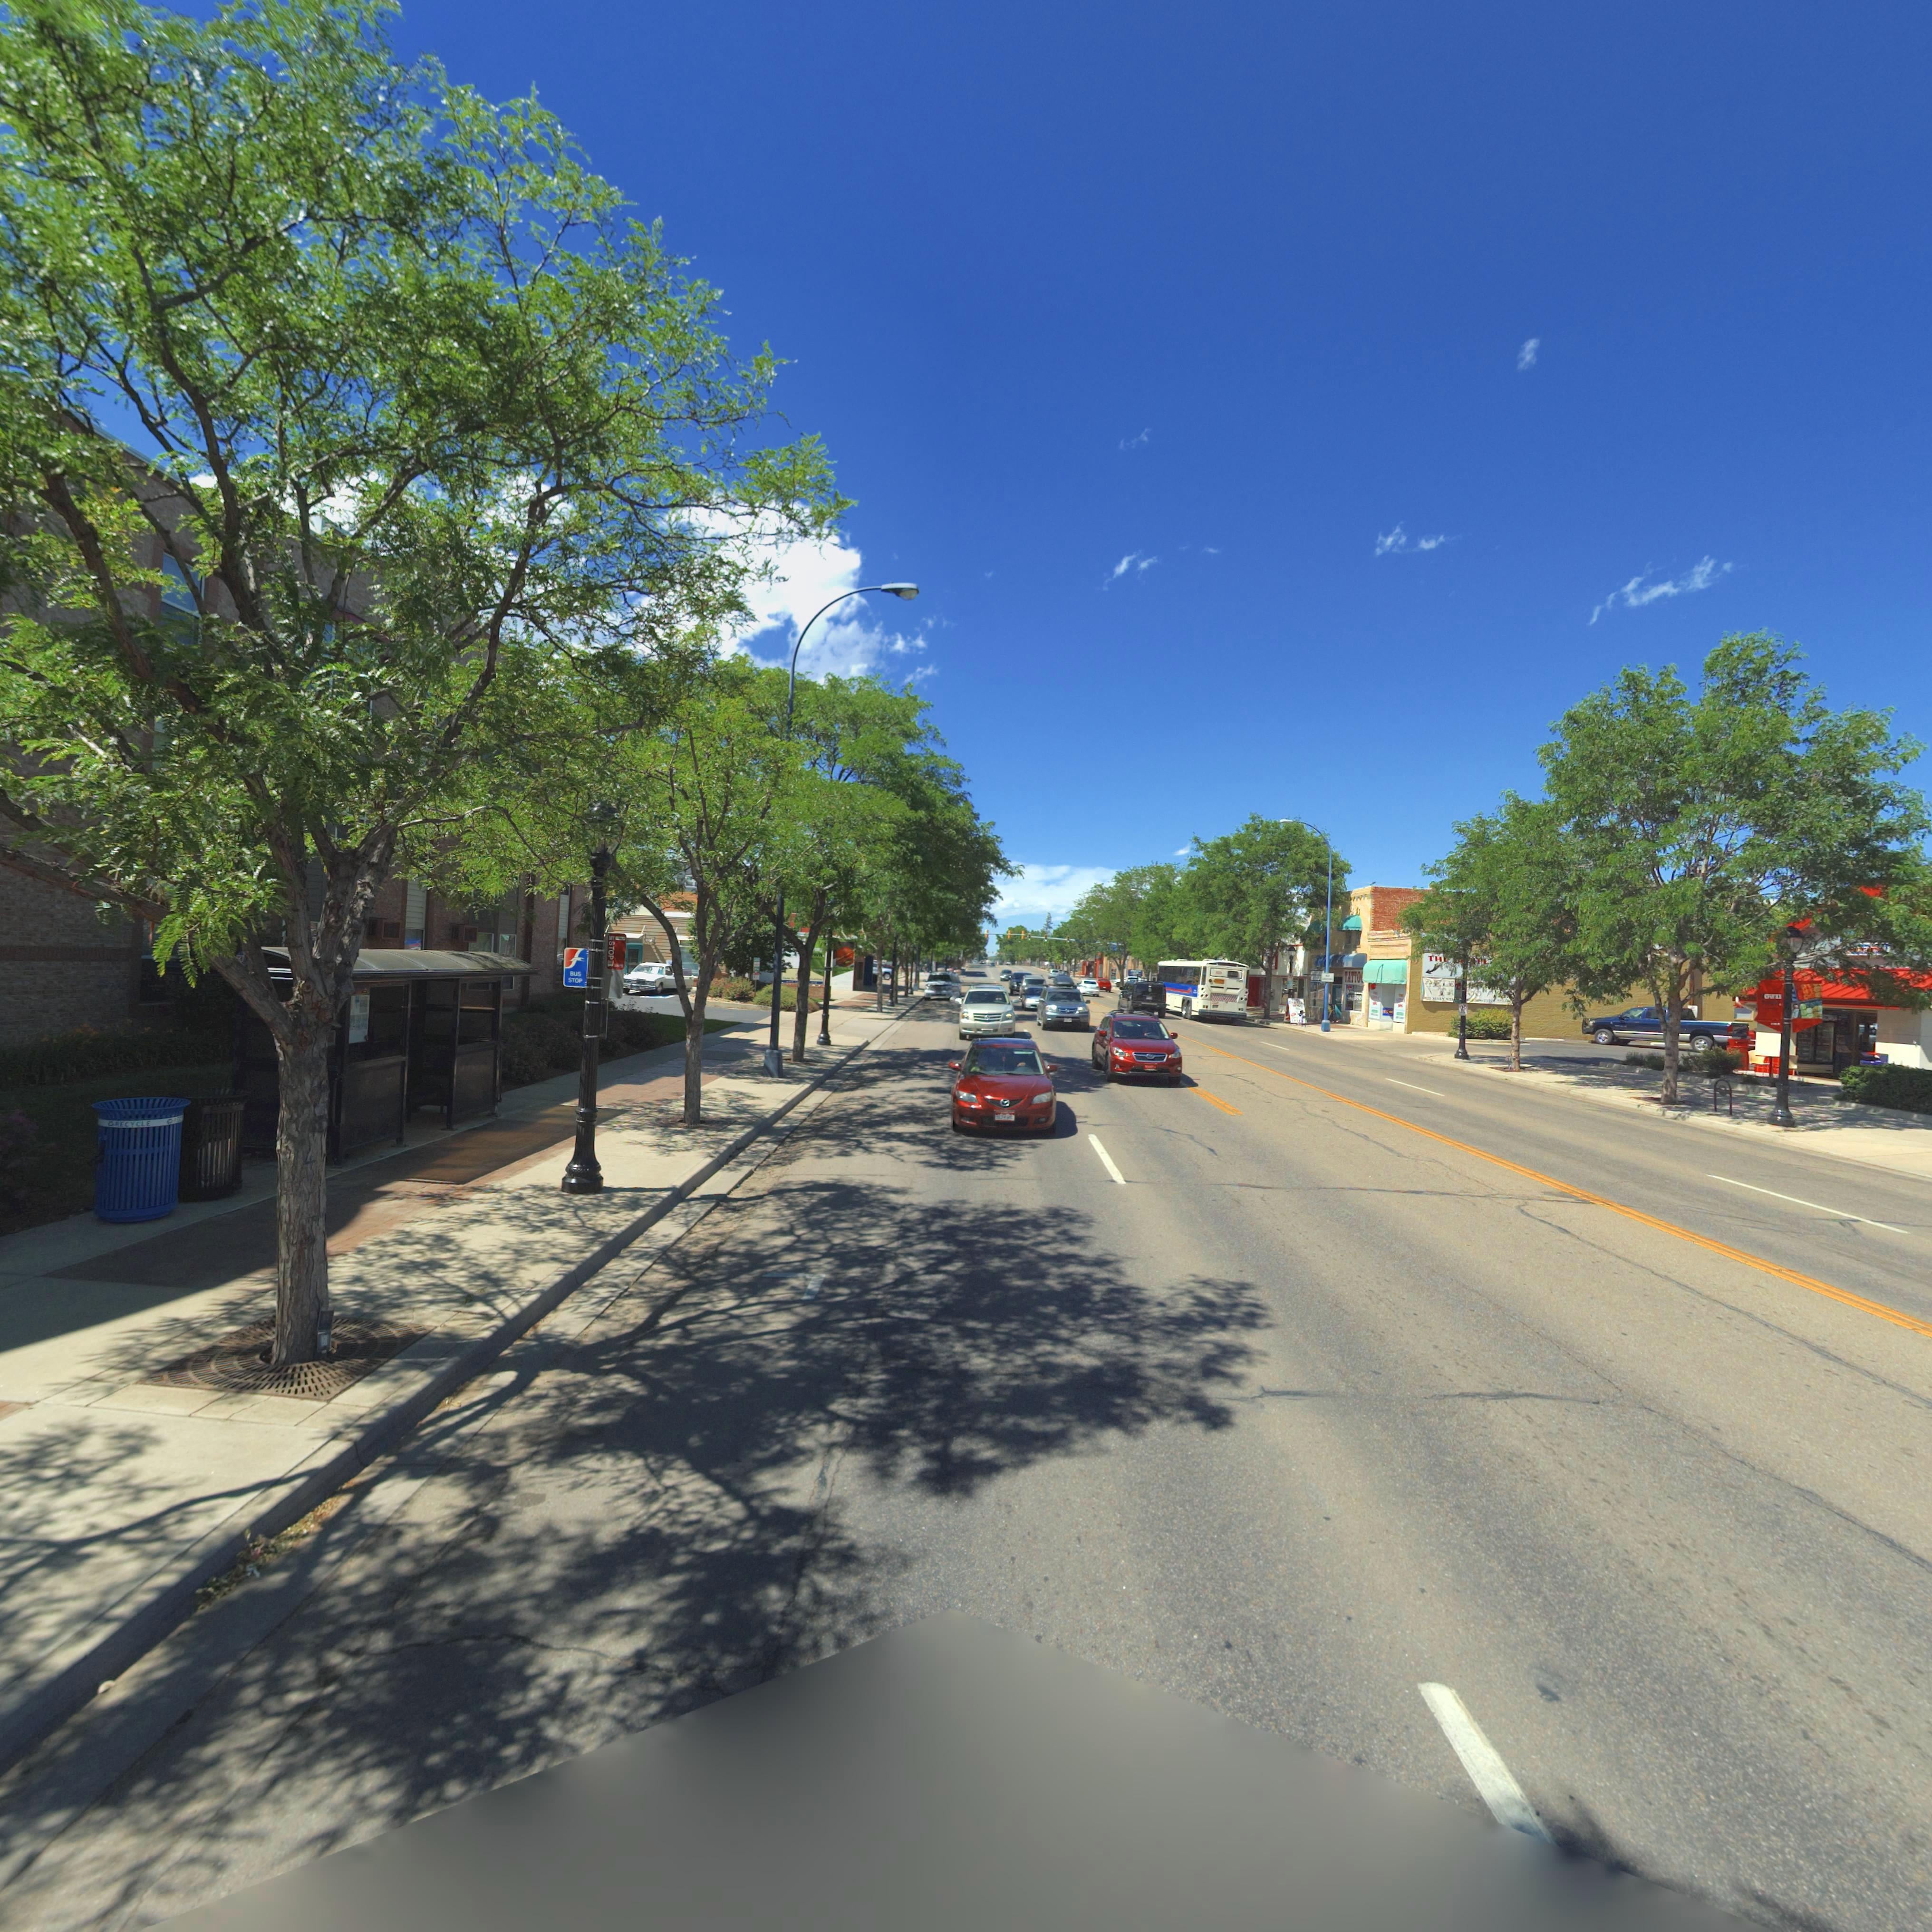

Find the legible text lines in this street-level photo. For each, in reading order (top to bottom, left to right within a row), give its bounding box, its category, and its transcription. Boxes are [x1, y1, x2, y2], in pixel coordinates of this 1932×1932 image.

[1427, 955, 1448, 962] BusinessName: TH*
[1344, 971, 1363, 983] BusinessName: TATTO*